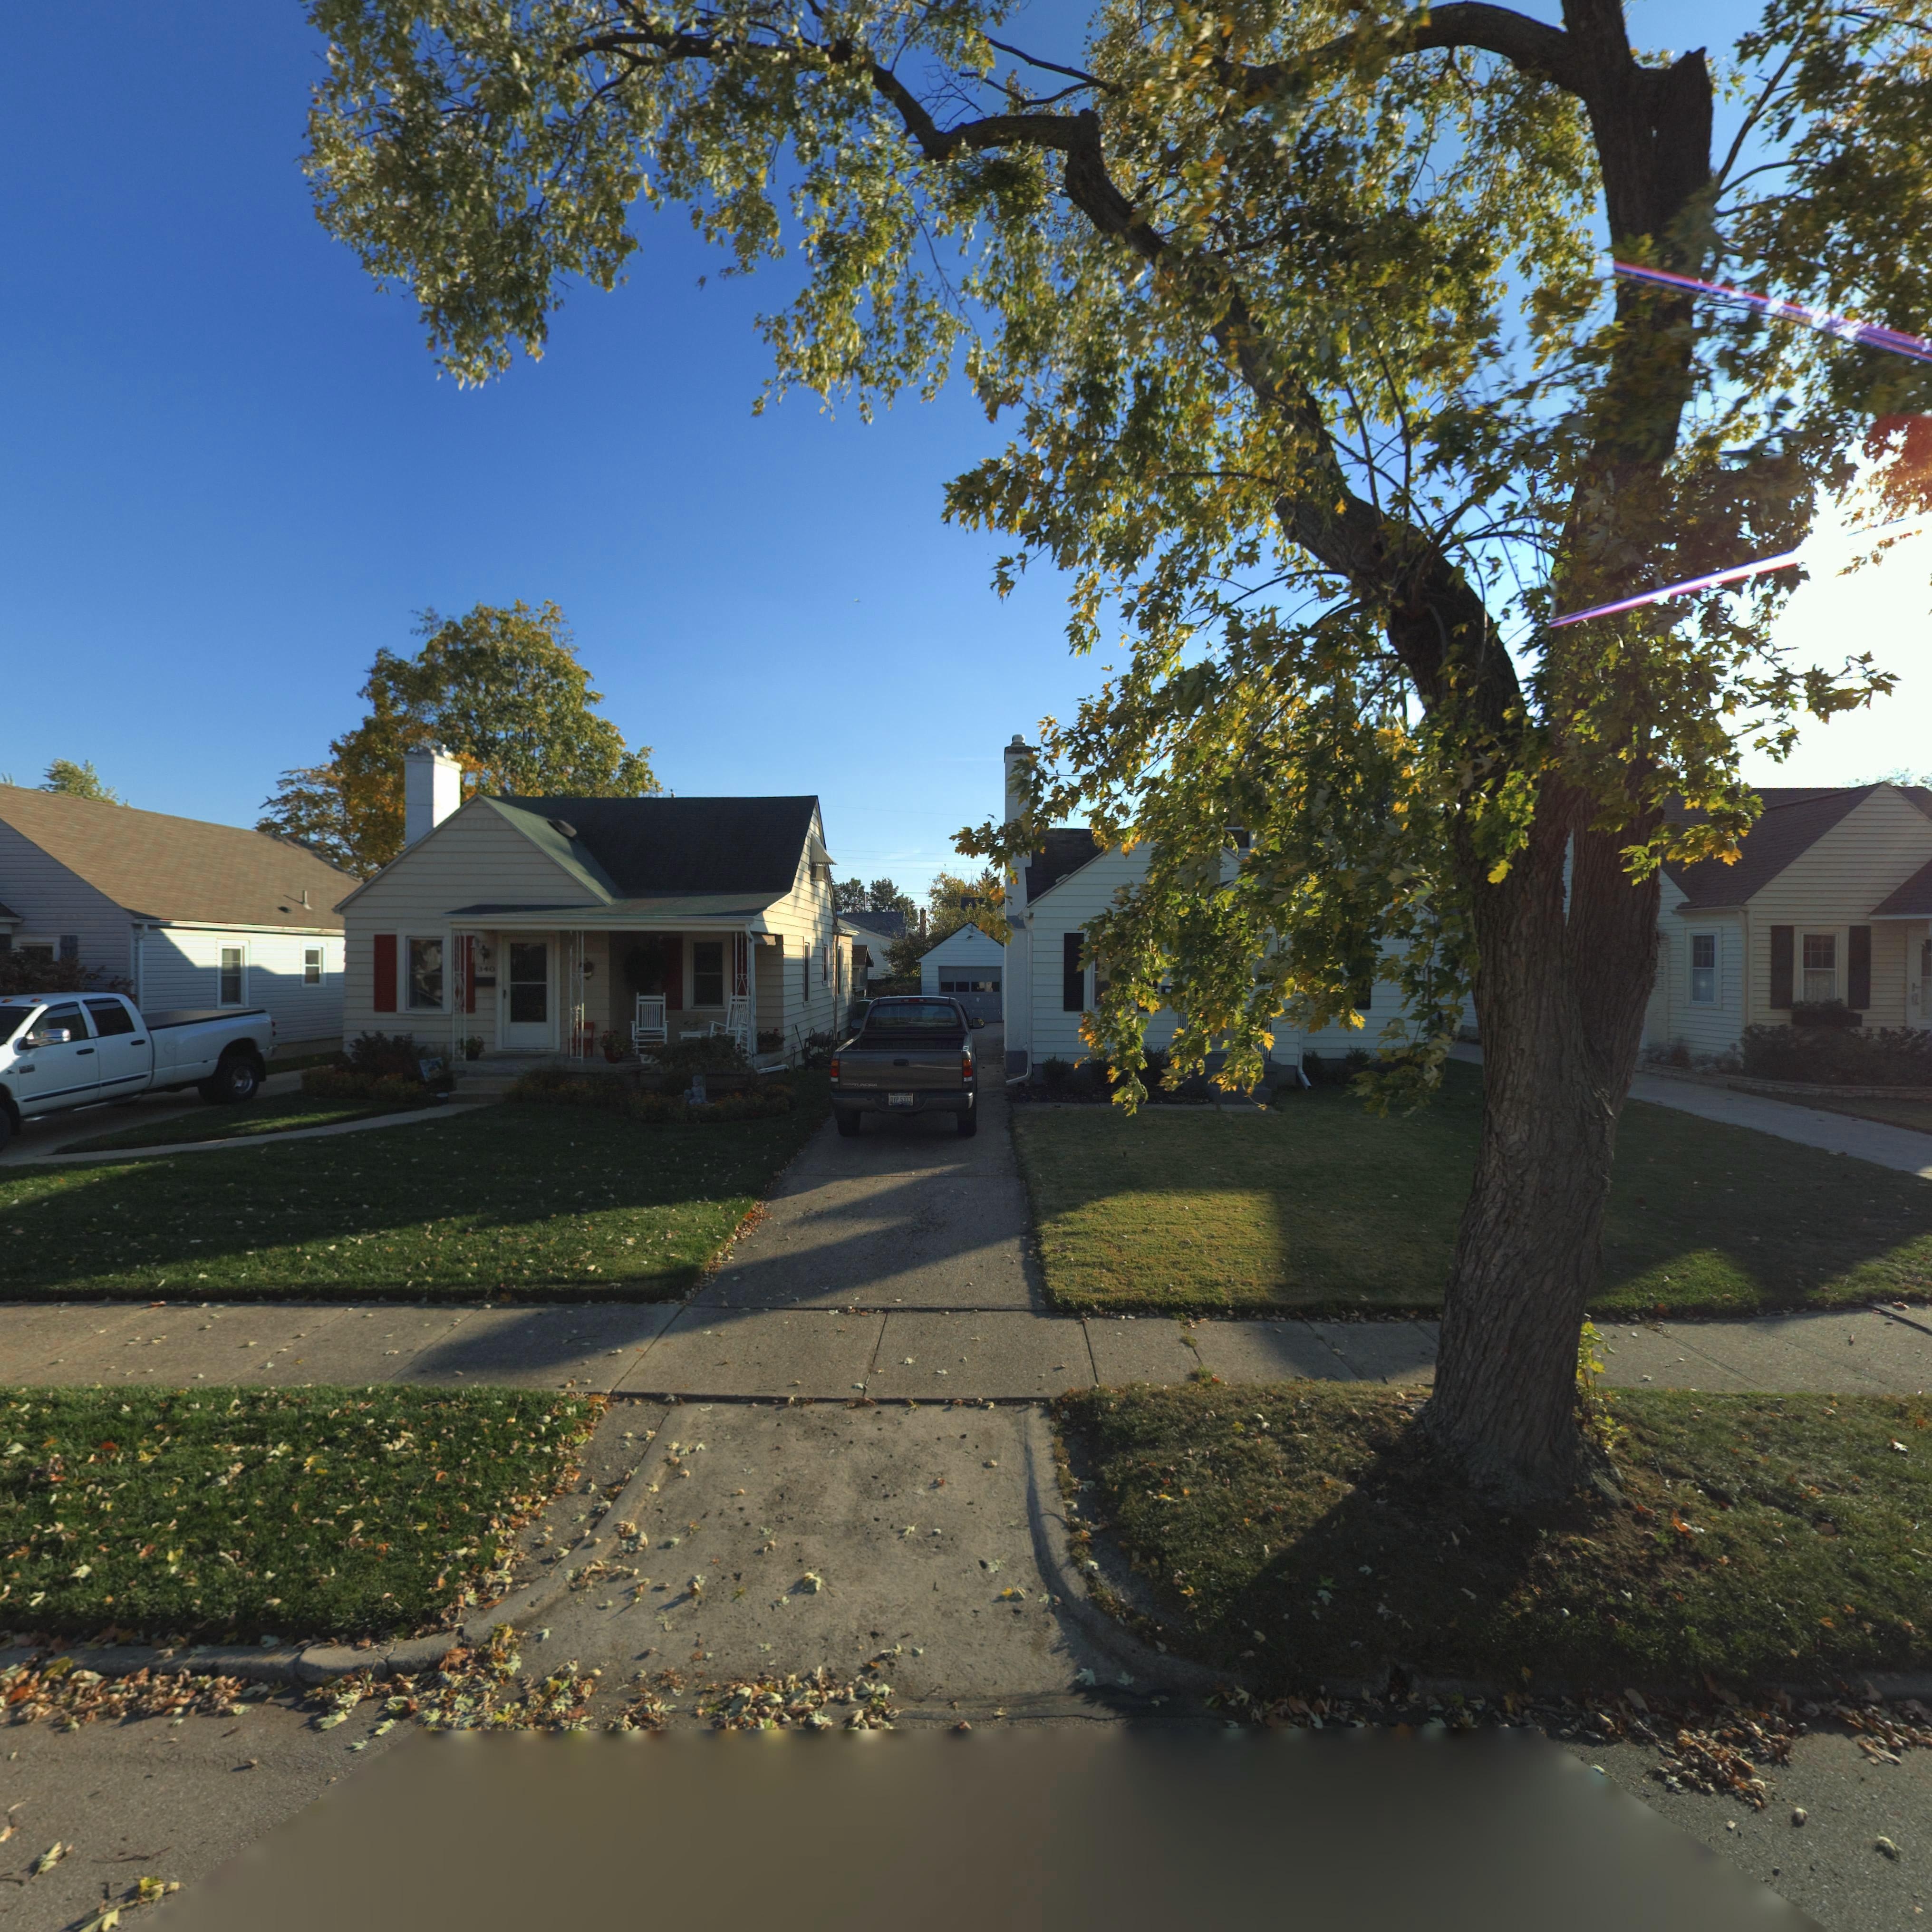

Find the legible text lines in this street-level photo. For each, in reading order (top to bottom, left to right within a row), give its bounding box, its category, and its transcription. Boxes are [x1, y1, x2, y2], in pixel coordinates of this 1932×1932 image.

[476, 966, 496, 972] StreetNumber: 340